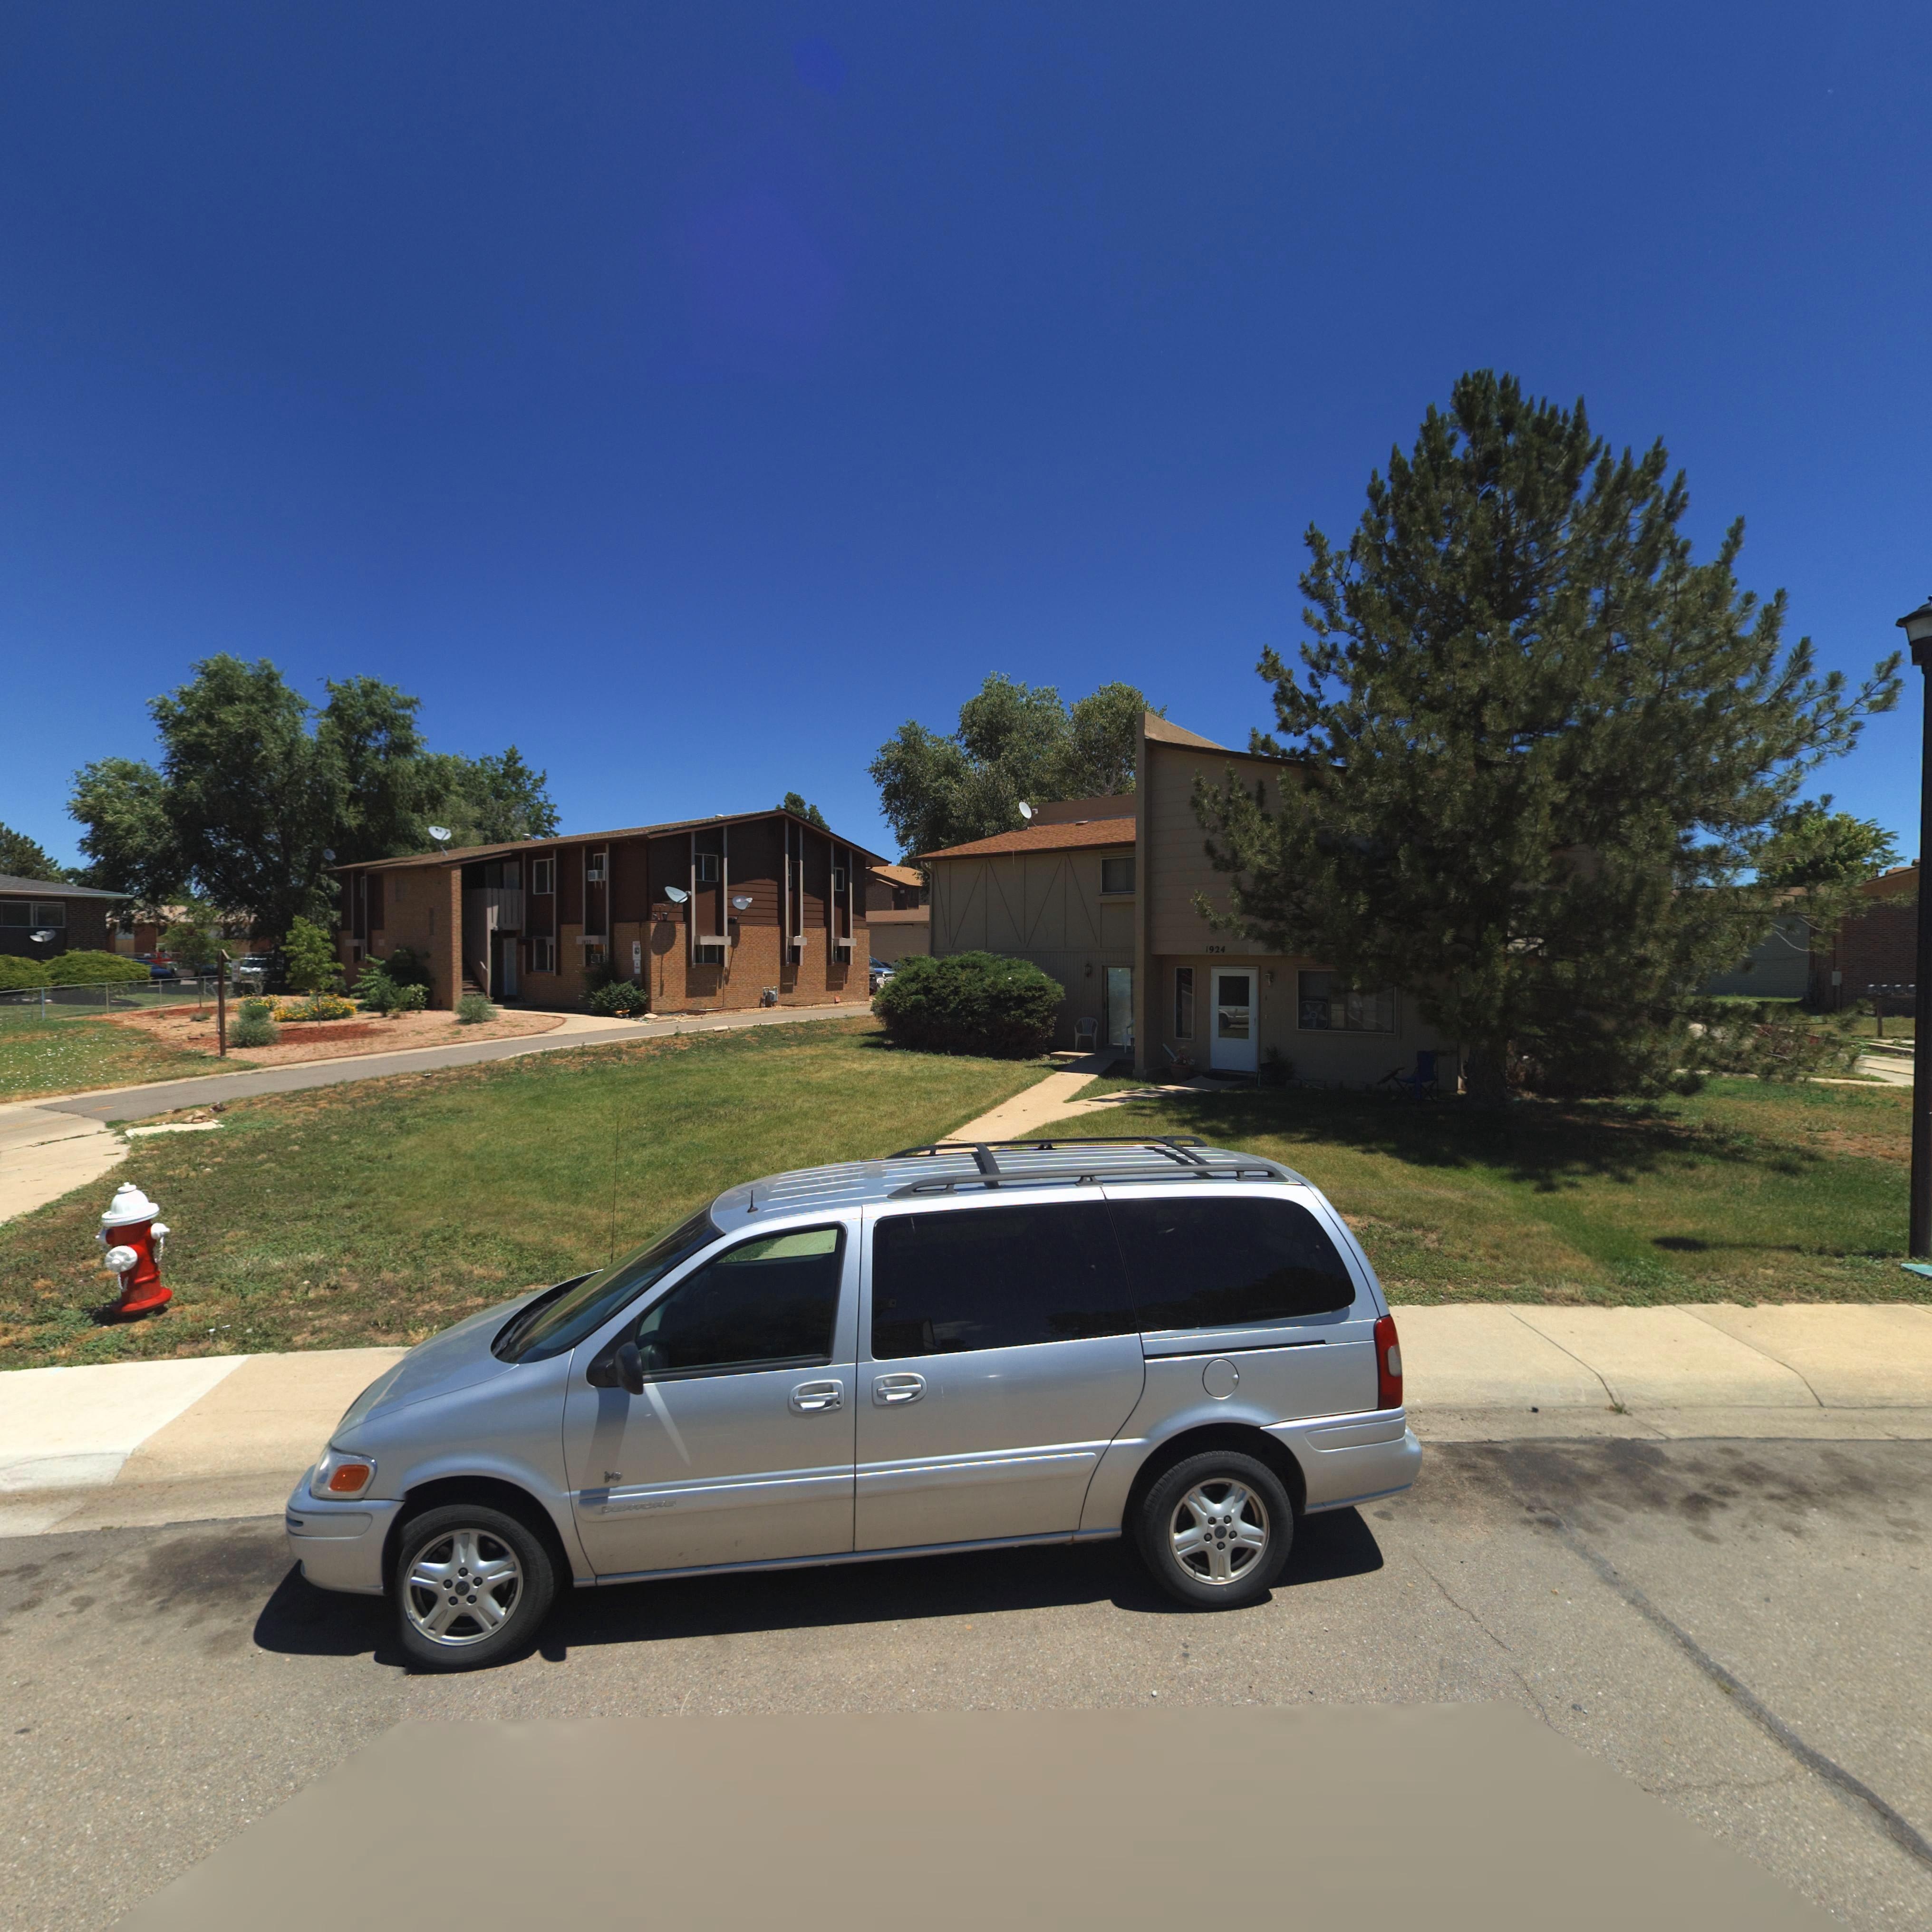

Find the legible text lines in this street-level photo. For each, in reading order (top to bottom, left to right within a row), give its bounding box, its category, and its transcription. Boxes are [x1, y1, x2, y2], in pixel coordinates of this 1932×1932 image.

[581, 939, 592, 945] StreetNumber: 1*32
[1206, 946, 1225, 953] StreetNumber: 1924